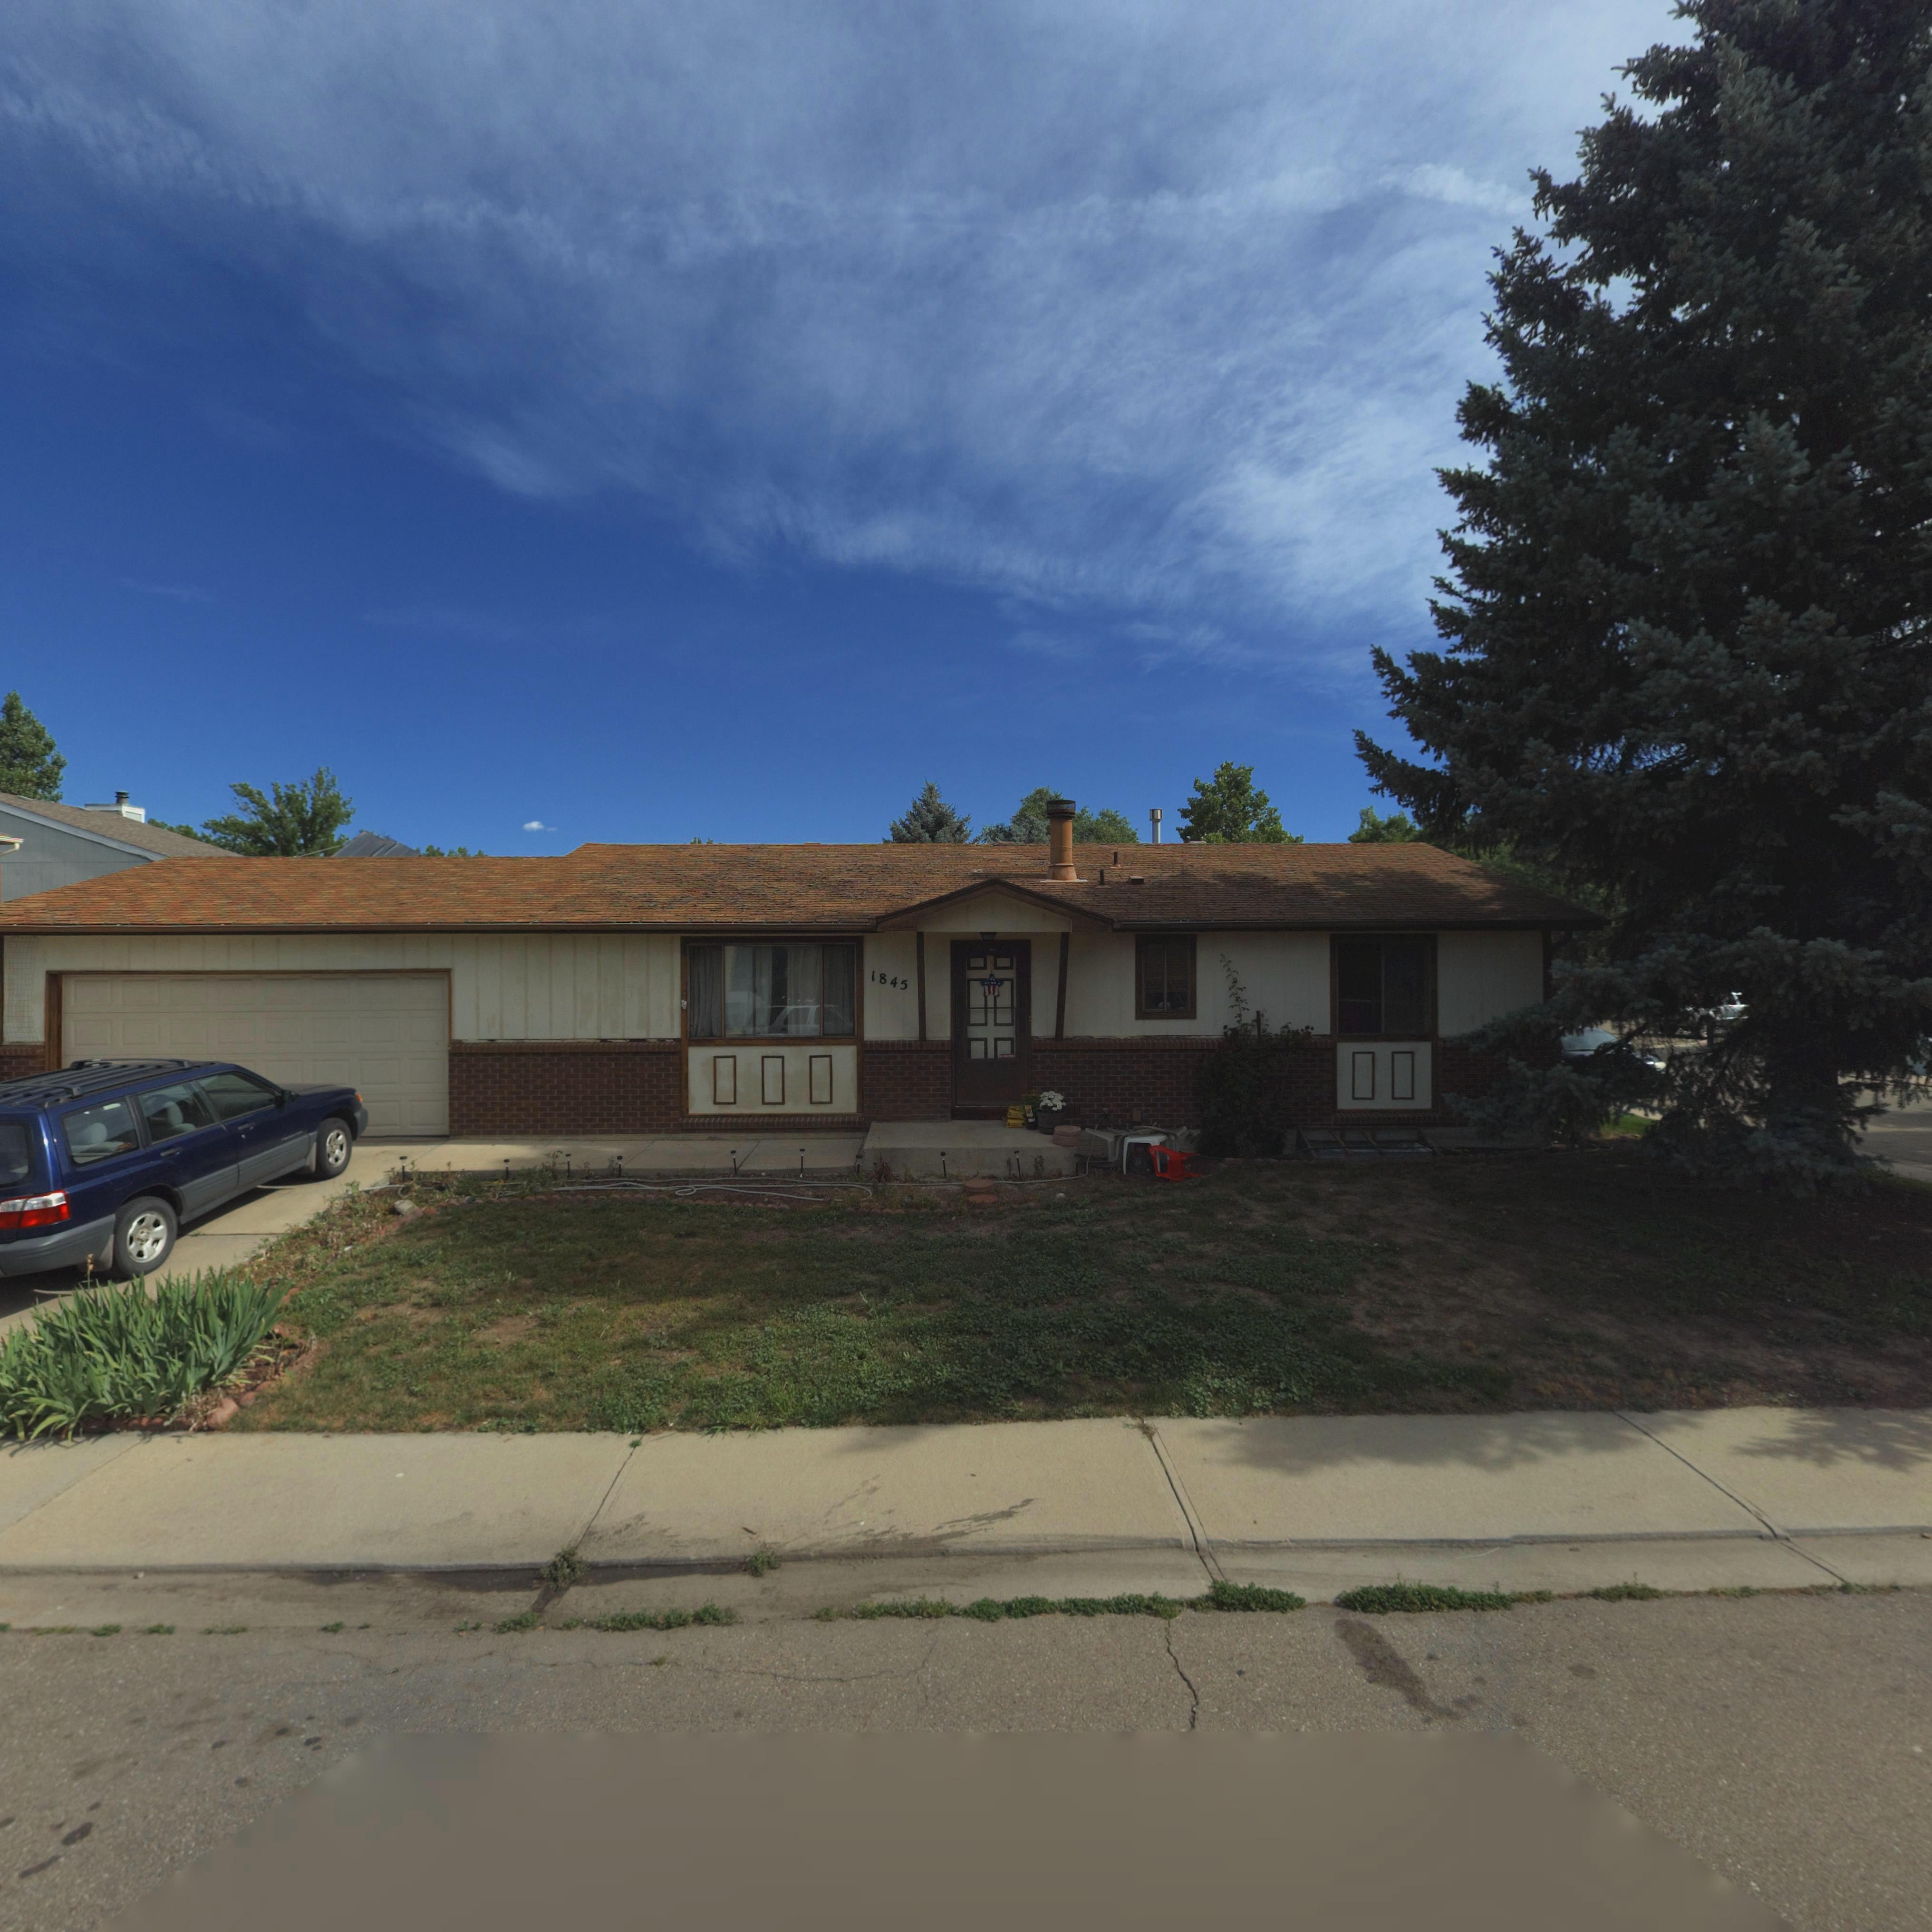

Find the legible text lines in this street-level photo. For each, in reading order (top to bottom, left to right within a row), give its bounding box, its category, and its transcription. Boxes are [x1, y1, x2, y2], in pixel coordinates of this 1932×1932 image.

[871, 970, 908, 991] StreetNumber: 1845